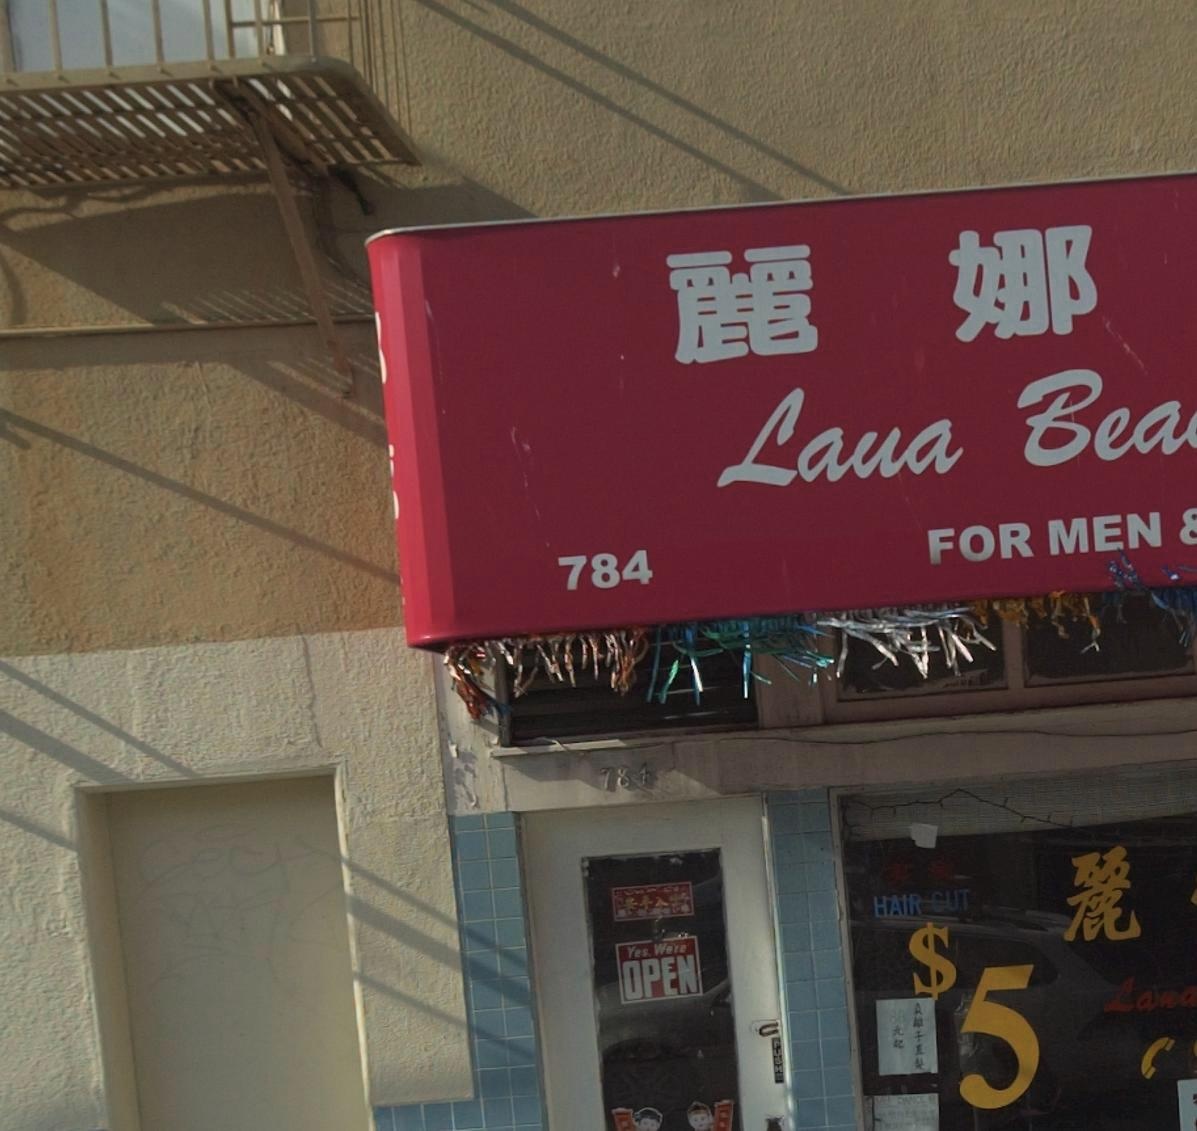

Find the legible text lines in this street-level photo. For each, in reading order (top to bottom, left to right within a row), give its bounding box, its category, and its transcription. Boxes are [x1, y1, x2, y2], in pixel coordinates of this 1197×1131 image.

[711, 363, 1187, 491] BusinessName: Laua Bea
[921, 505, 1169, 571] None: FOR MEN
[552, 546, 655, 594] StreetNumber: 784
[871, 885, 971, 918] None: HAIR CUT
[624, 939, 688, 961] None: Yes. We're
[619, 953, 699, 1003] None: OPEN
[1099, 974, 1196, 1014] BusinessName: Laua
[771, 1038, 784, 1075] None: PUSH
[956, 962, 1042, 1113] None: 5